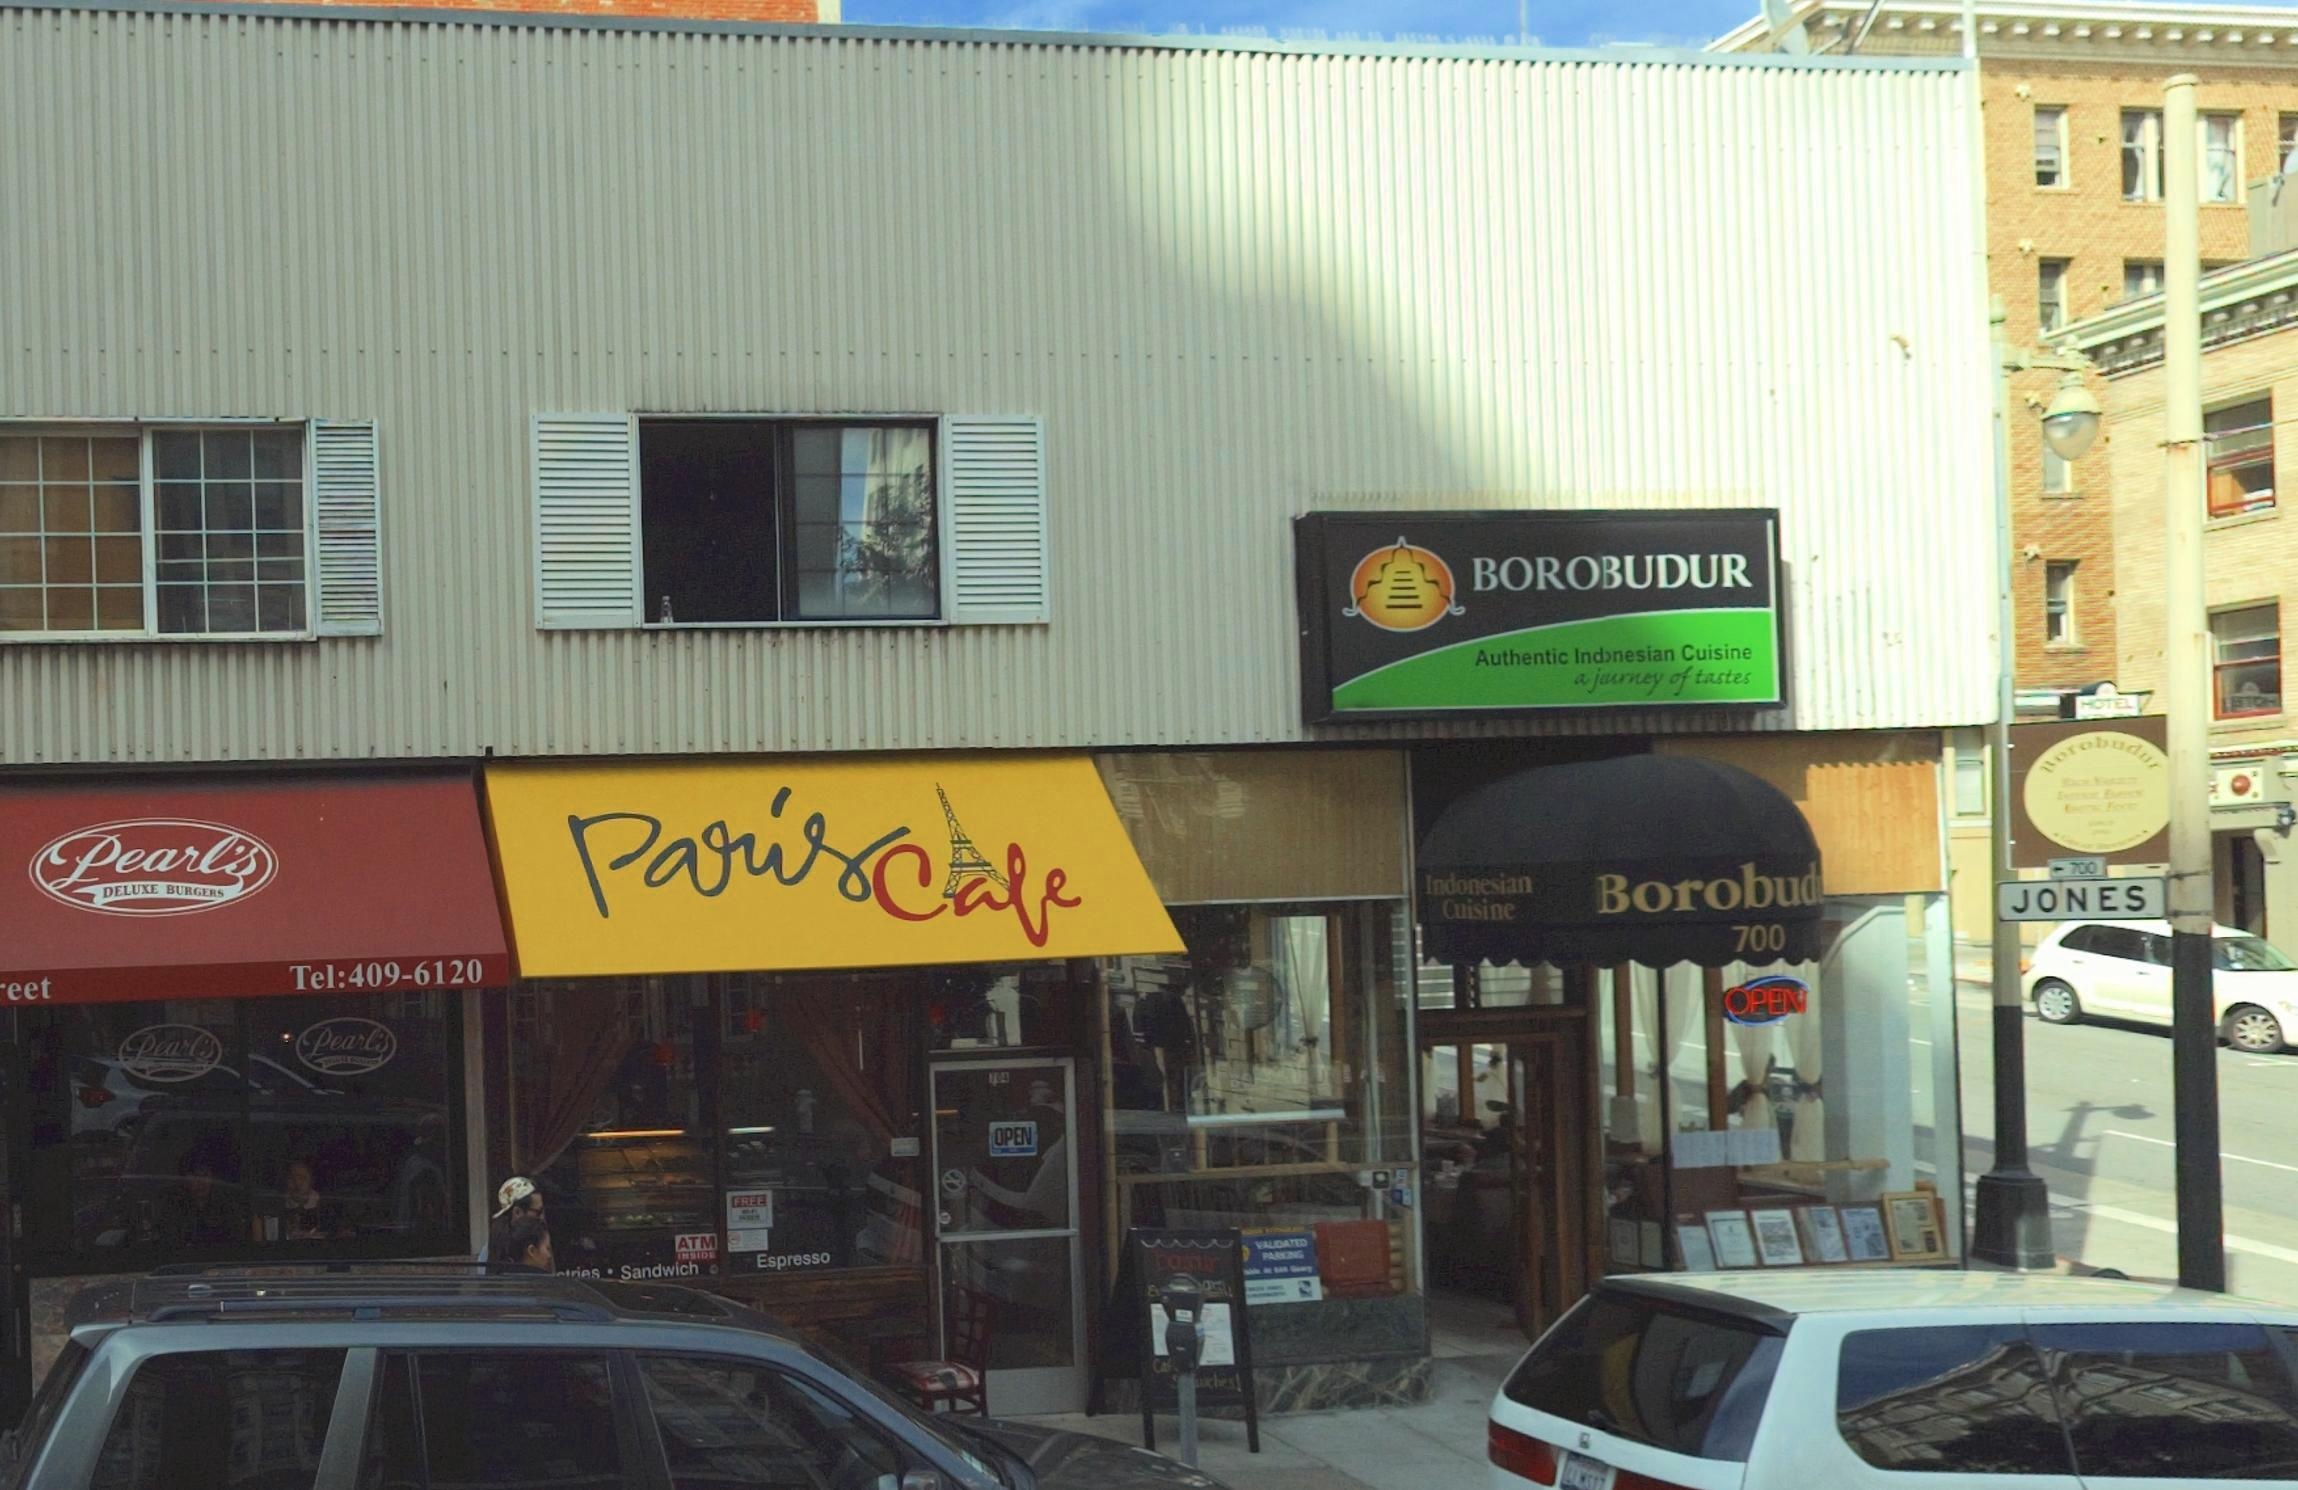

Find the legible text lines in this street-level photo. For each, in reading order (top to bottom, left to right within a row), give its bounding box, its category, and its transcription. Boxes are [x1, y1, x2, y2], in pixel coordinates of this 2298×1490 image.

[1468, 551, 1759, 594] BusinessName: BOR**UDUR
[1470, 640, 1756, 671] None: Authentic In**nesian Cuisine
[1567, 662, 1757, 701] None: a journey of tastes
[2036, 733, 2168, 776] BusinessName: *orobudur
[54, 827, 263, 892] None: Pearl's
[101, 880, 228, 901] None: DELUXE BURGERS
[560, 782, 1093, 952] BusinessName: Paris Cafe
[1437, 894, 1521, 925] None: Cuisine
[1422, 870, 1537, 899] None: Indonesian
[1594, 855, 1822, 916] BusinessName: Borobud
[2048, 858, 2102, 879] StreetNumberRange: <-700
[2007, 881, 2151, 919] StreetName: JONES
[1728, 919, 1789, 956] StreetNumber: 700
[4, 972, 55, 1005] StreetName: eet
[286, 955, 487, 994] None: Tel:409-6120
[1722, 984, 1810, 1018] None: OPEN
[127, 1028, 220, 1069] None: Pearl's
[304, 1021, 394, 1064] None: Pearl's
[987, 1070, 1010, 1085] StreetNumber: **4
[993, 1124, 1035, 1149] None: OPEN
[732, 1194, 767, 1209] None: FREE
[617, 1258, 702, 1282] None: Sandwich
[673, 1232, 718, 1252] None: ATM
[676, 1248, 719, 1262] None: INSIDE
[755, 1250, 833, 1272] None: Espresso
[1166, 1251, 1184, 1273] None: o